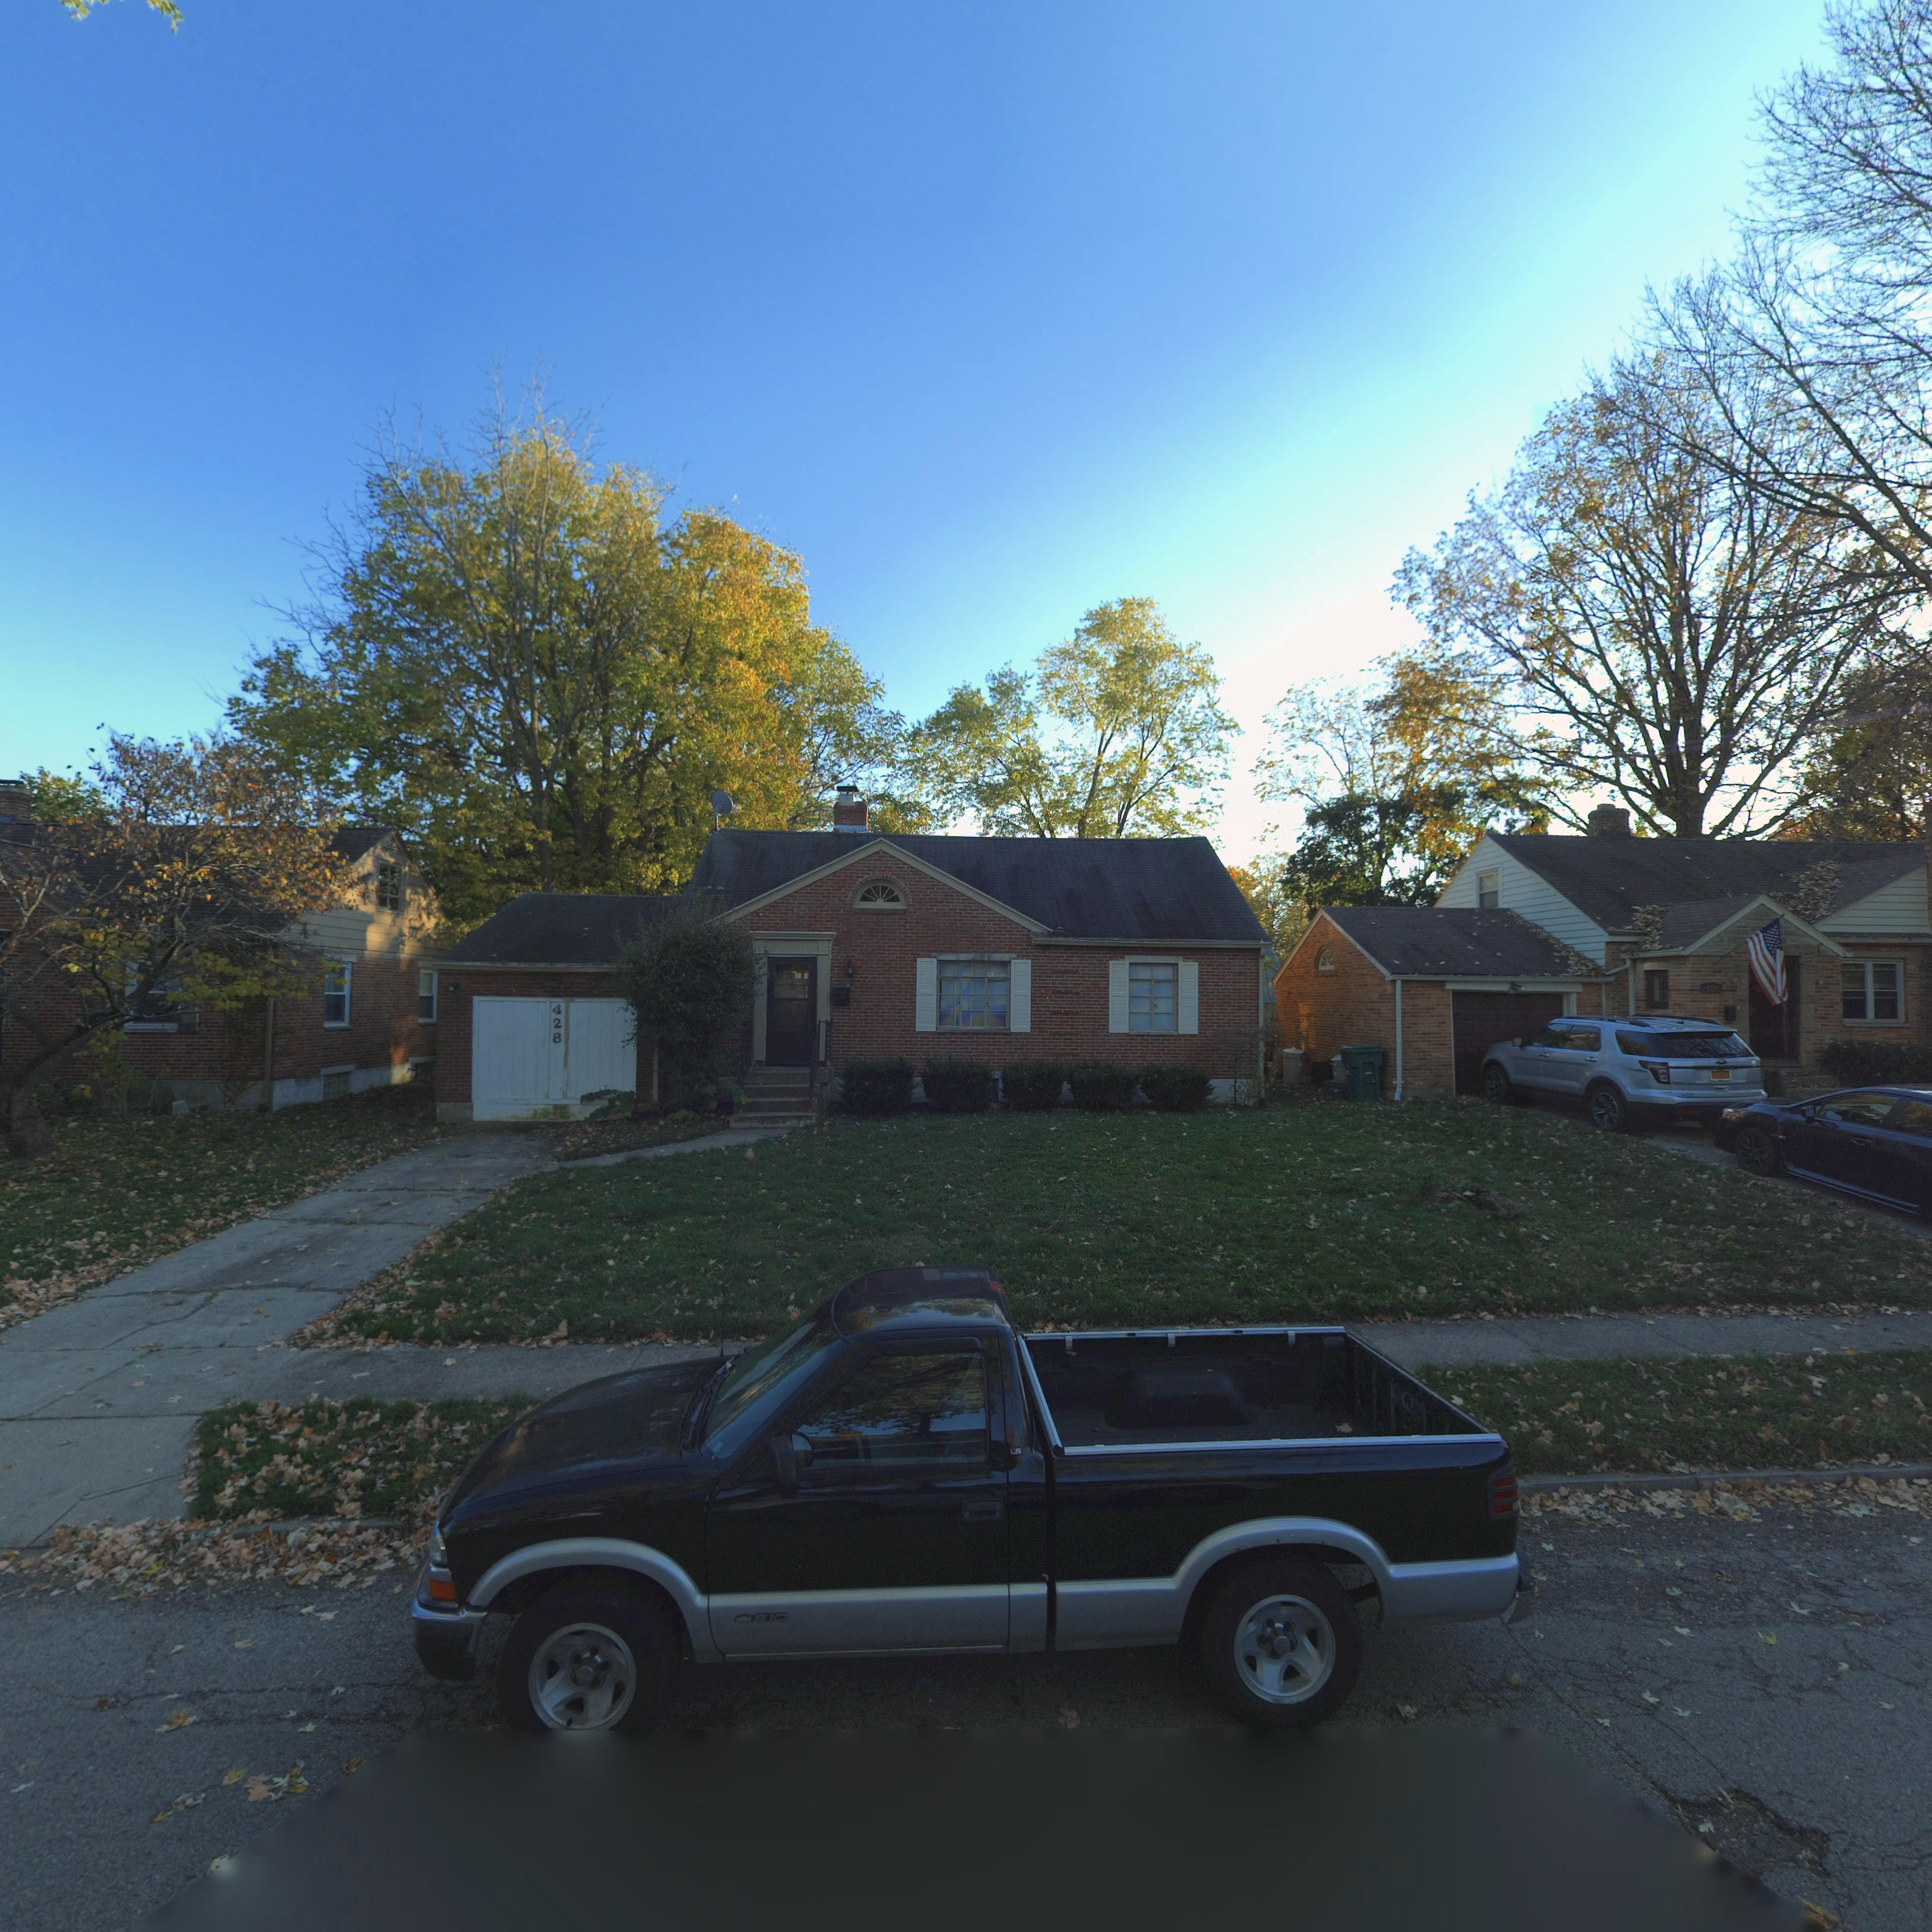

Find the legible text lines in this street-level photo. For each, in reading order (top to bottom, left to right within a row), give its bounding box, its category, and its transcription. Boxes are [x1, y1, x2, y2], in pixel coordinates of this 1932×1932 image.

[551, 1002, 563, 1045] StreetNumber: 428